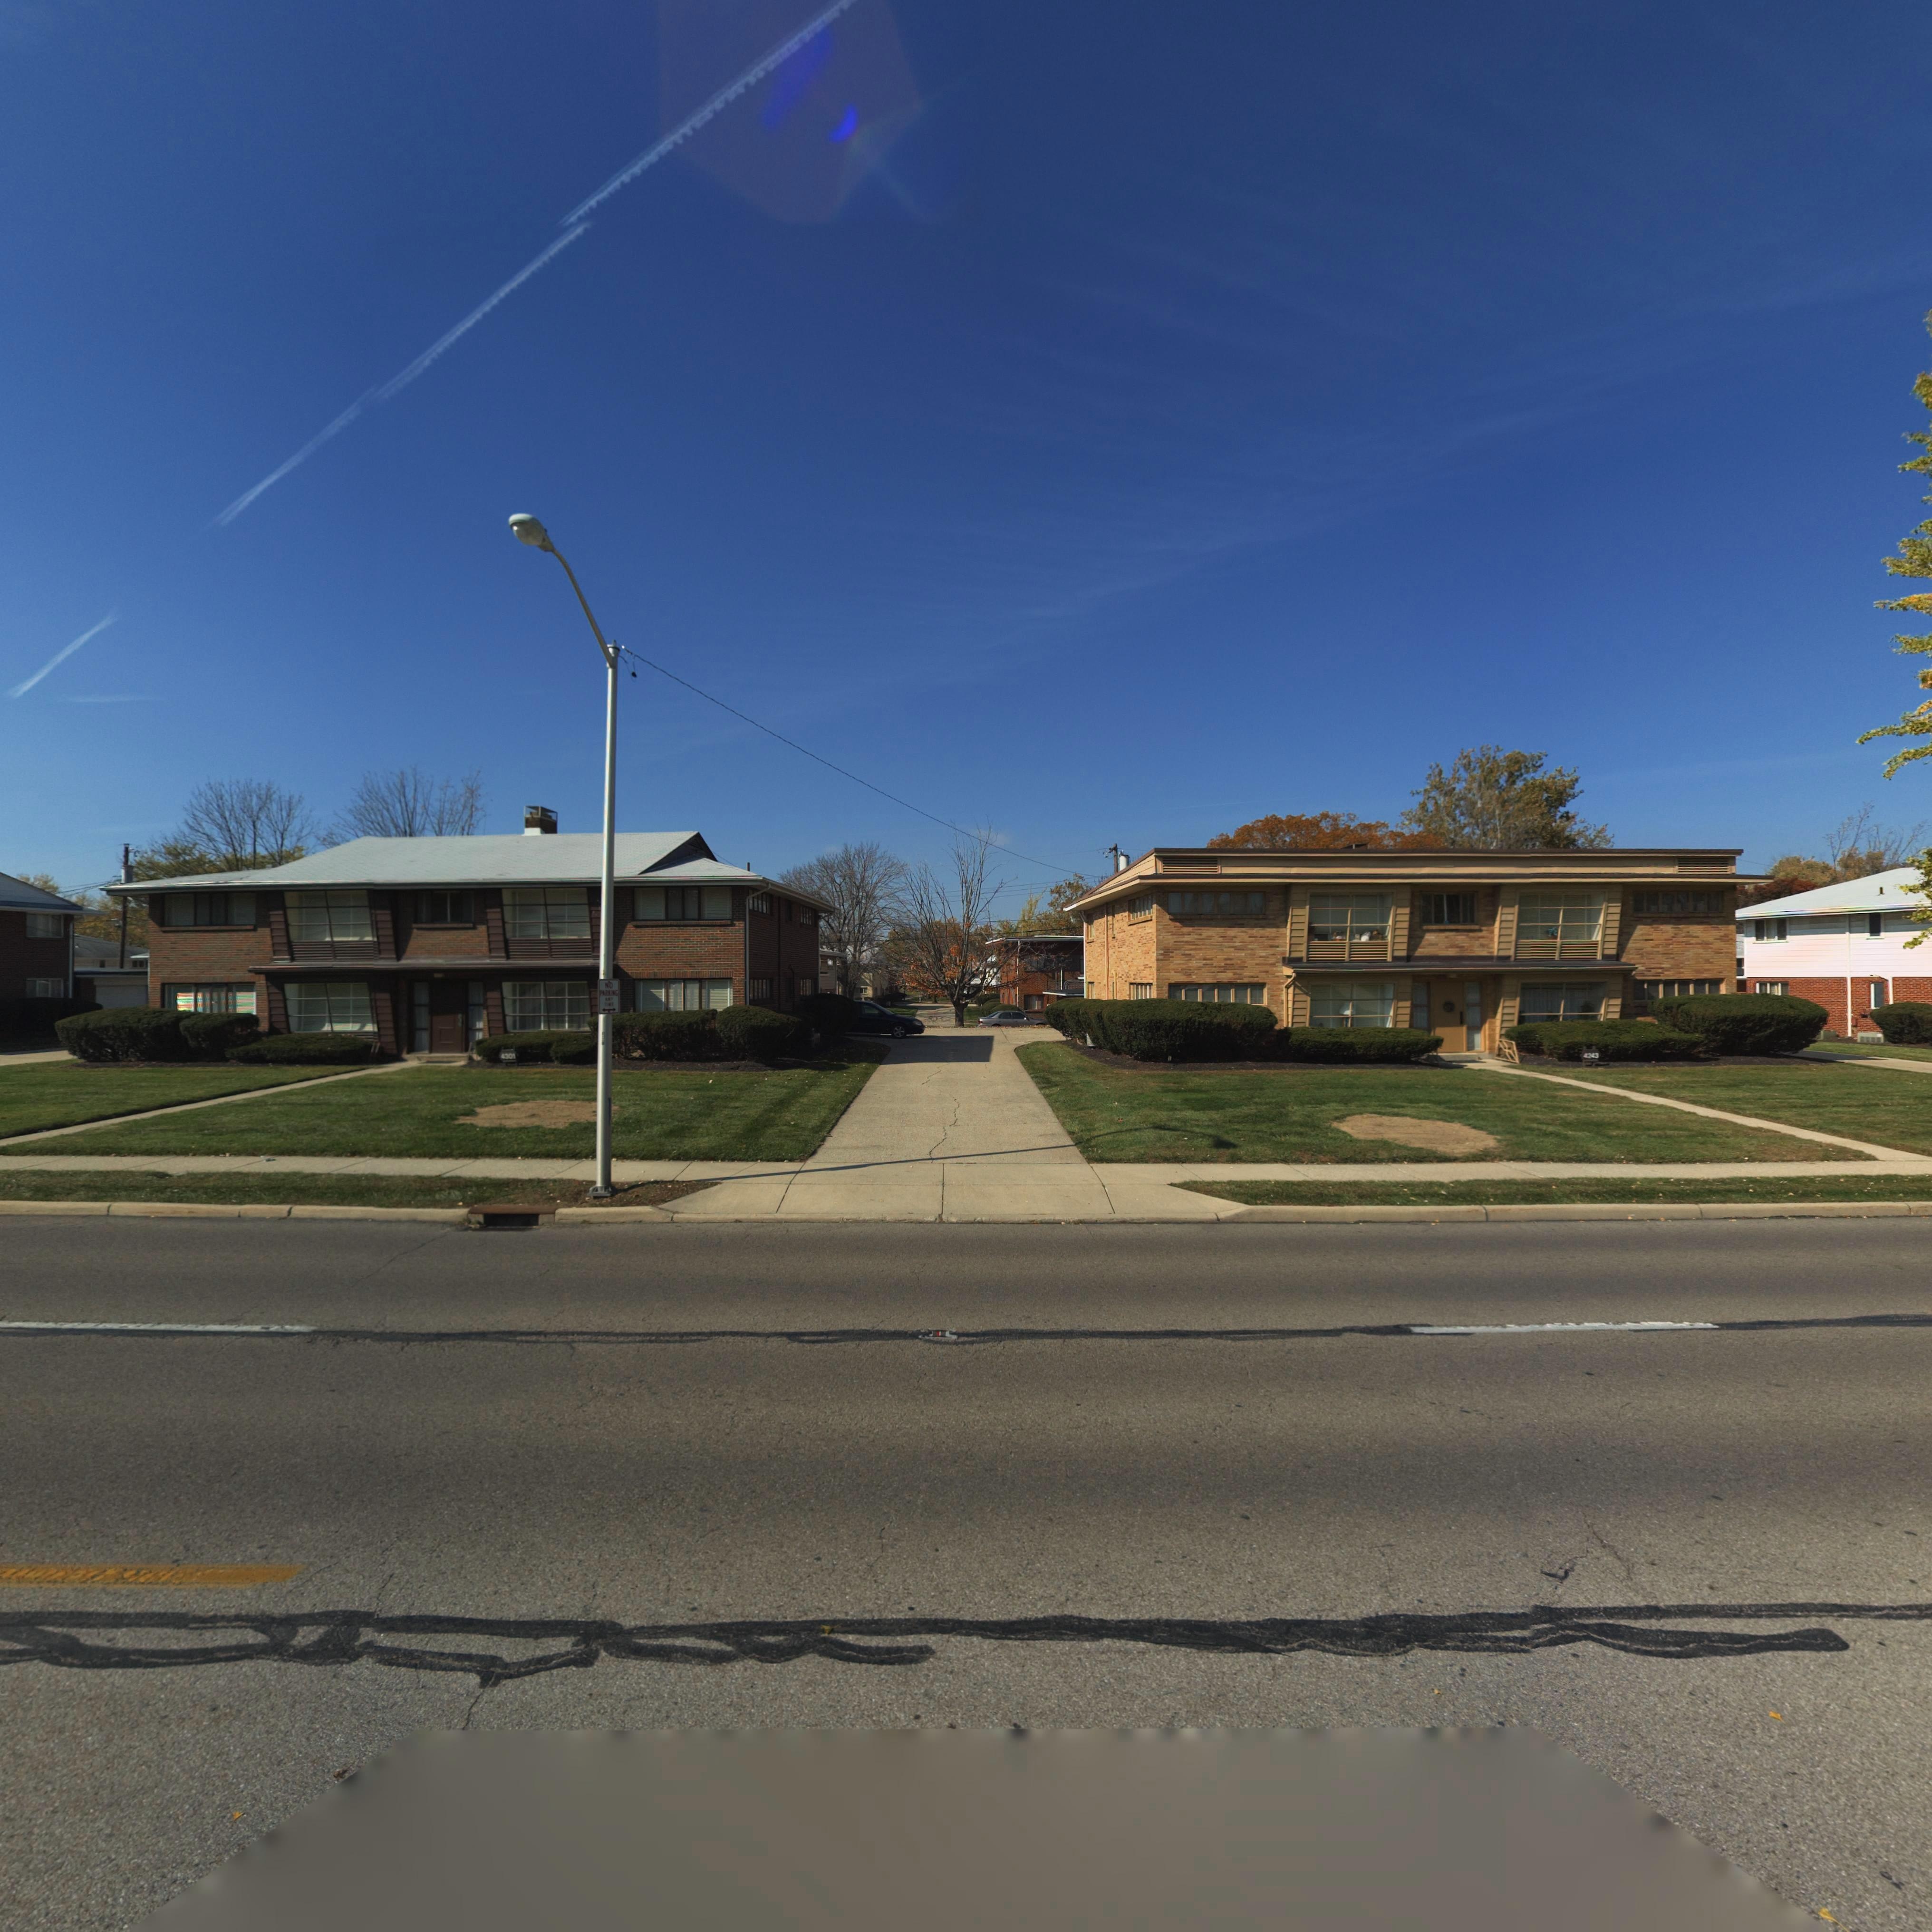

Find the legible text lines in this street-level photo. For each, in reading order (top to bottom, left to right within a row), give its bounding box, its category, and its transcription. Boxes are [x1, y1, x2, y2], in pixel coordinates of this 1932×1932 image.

[499, 1052, 517, 1061] StreetNumber: 4301
[1582, 1052, 1601, 1060] StreetNumber: 4243